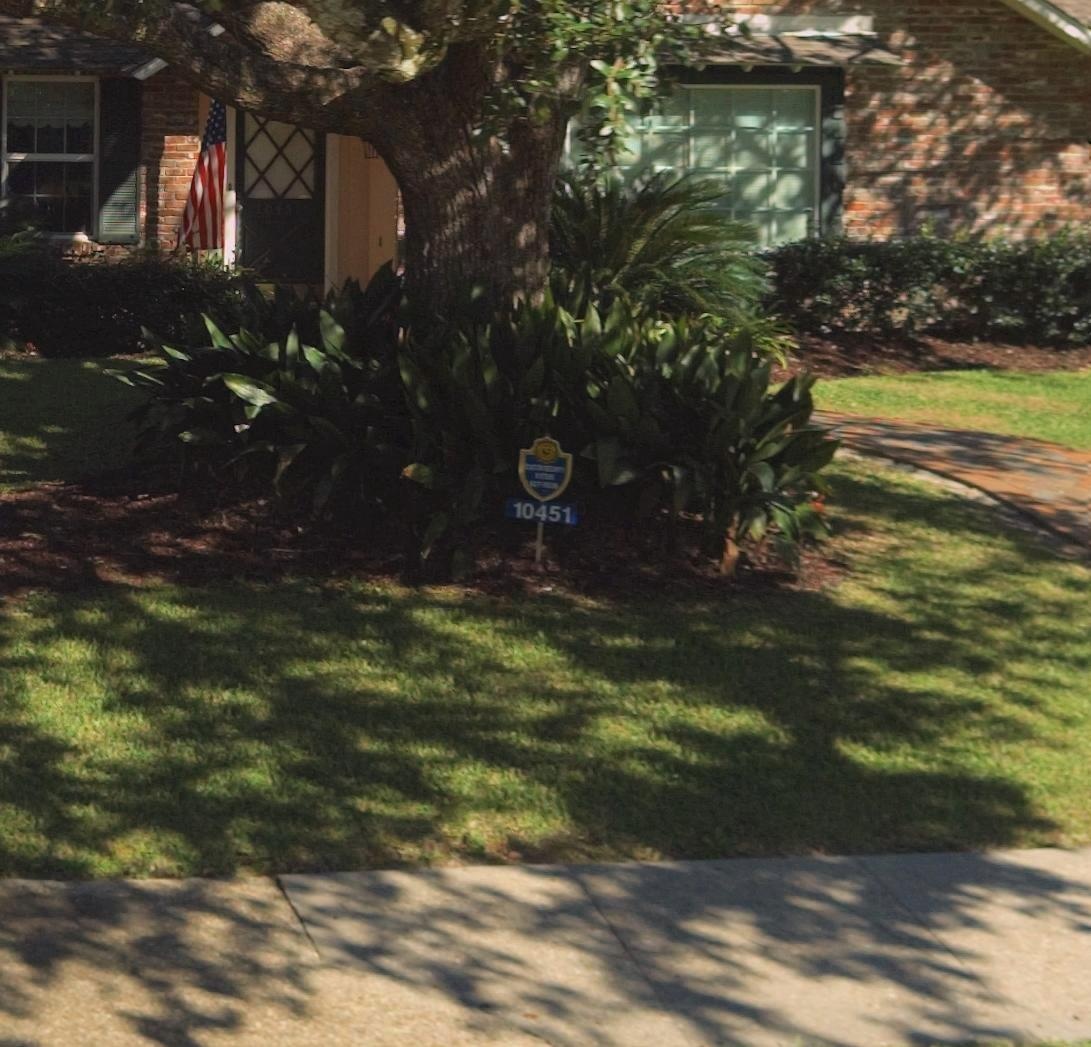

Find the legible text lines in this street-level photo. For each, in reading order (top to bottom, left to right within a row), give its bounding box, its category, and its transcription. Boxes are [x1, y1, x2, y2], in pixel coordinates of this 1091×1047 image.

[511, 499, 574, 526] StreetNumber: 10451